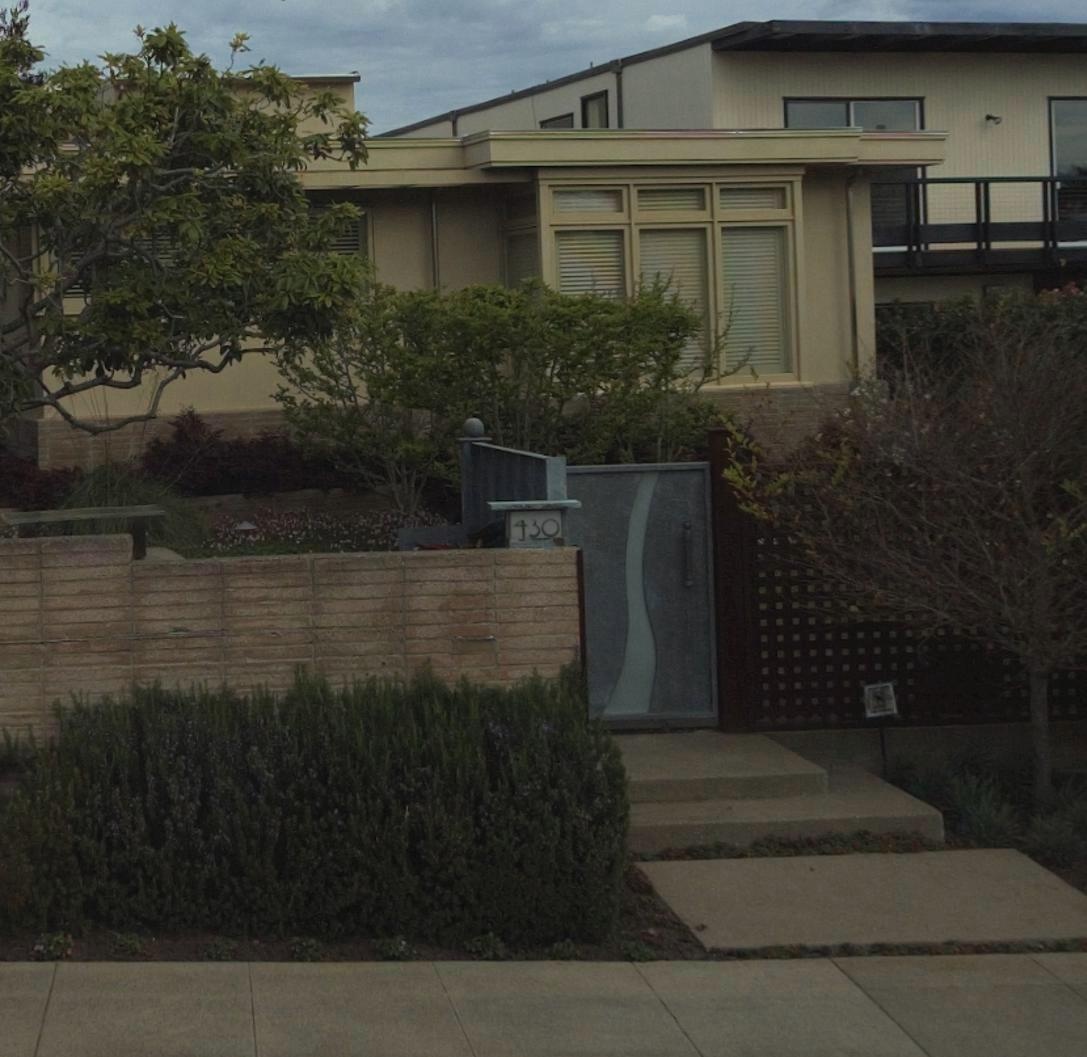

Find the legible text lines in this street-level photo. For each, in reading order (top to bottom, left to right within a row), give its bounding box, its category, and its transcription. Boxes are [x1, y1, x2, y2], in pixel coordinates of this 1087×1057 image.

[513, 516, 560, 539] StreetNumber: 430